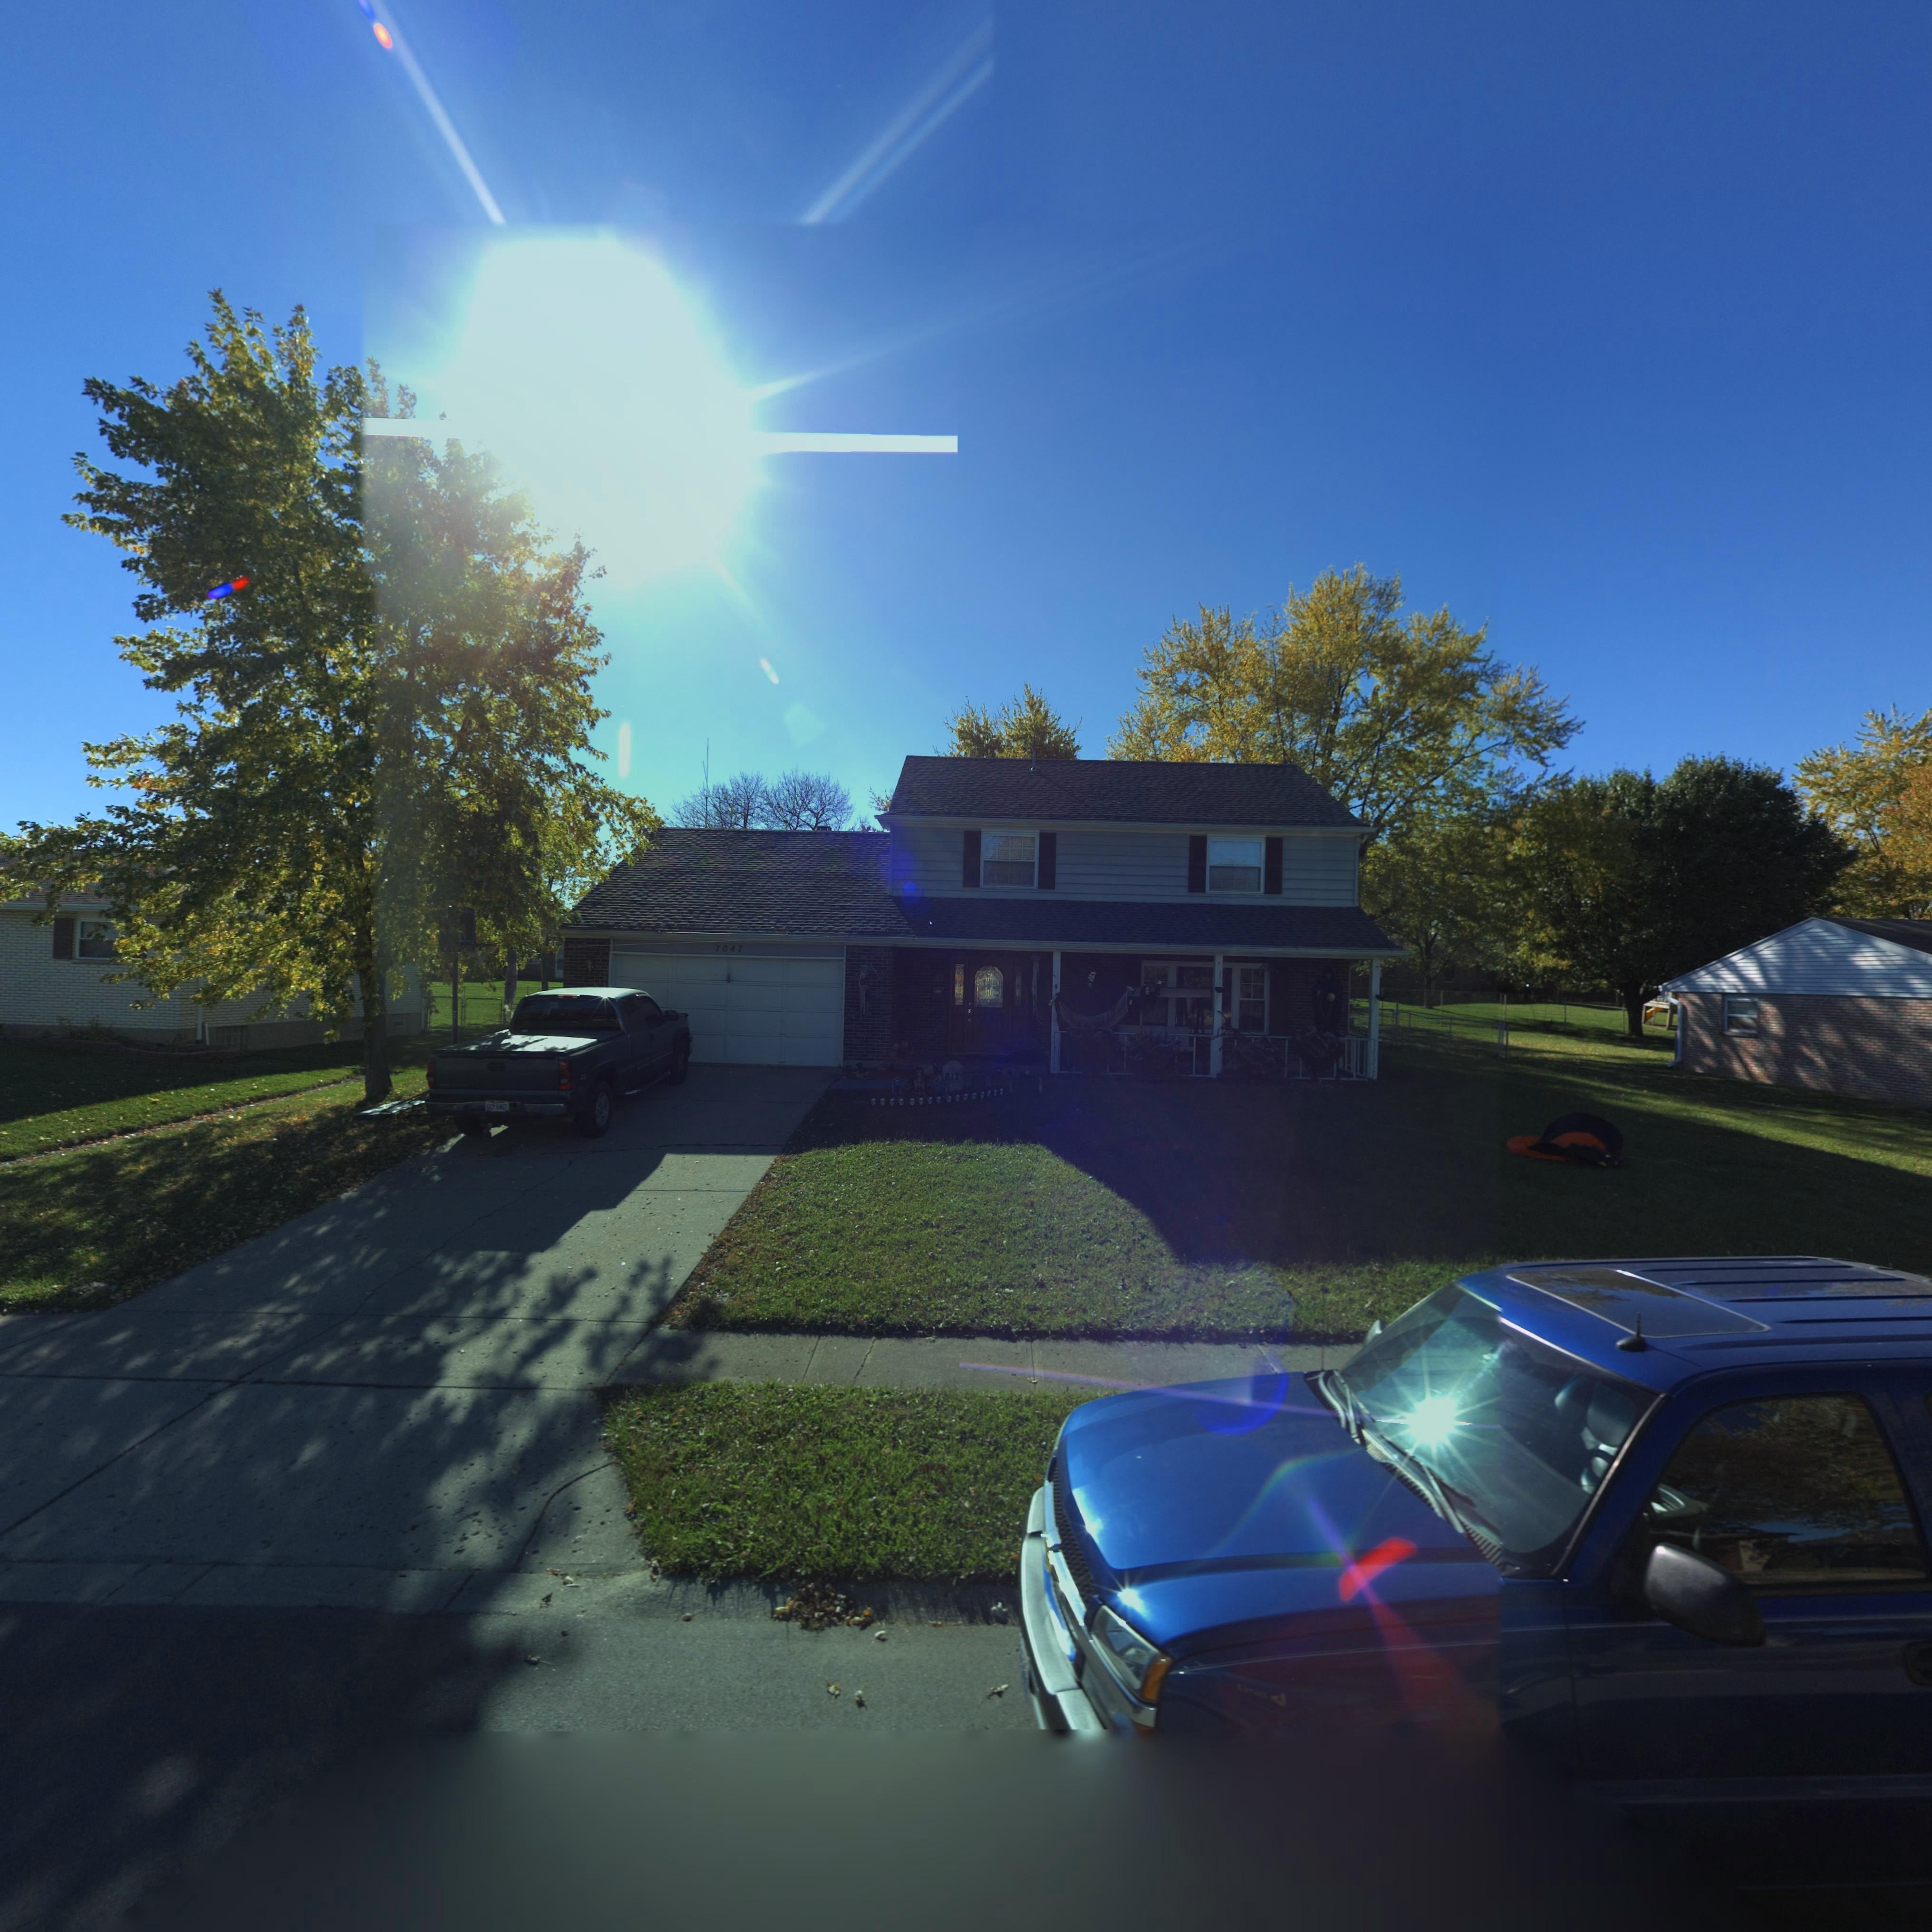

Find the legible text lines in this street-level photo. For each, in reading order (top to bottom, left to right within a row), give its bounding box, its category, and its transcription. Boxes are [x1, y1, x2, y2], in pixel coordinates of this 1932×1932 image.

[715, 944, 744, 953] StreetNumber: 7047